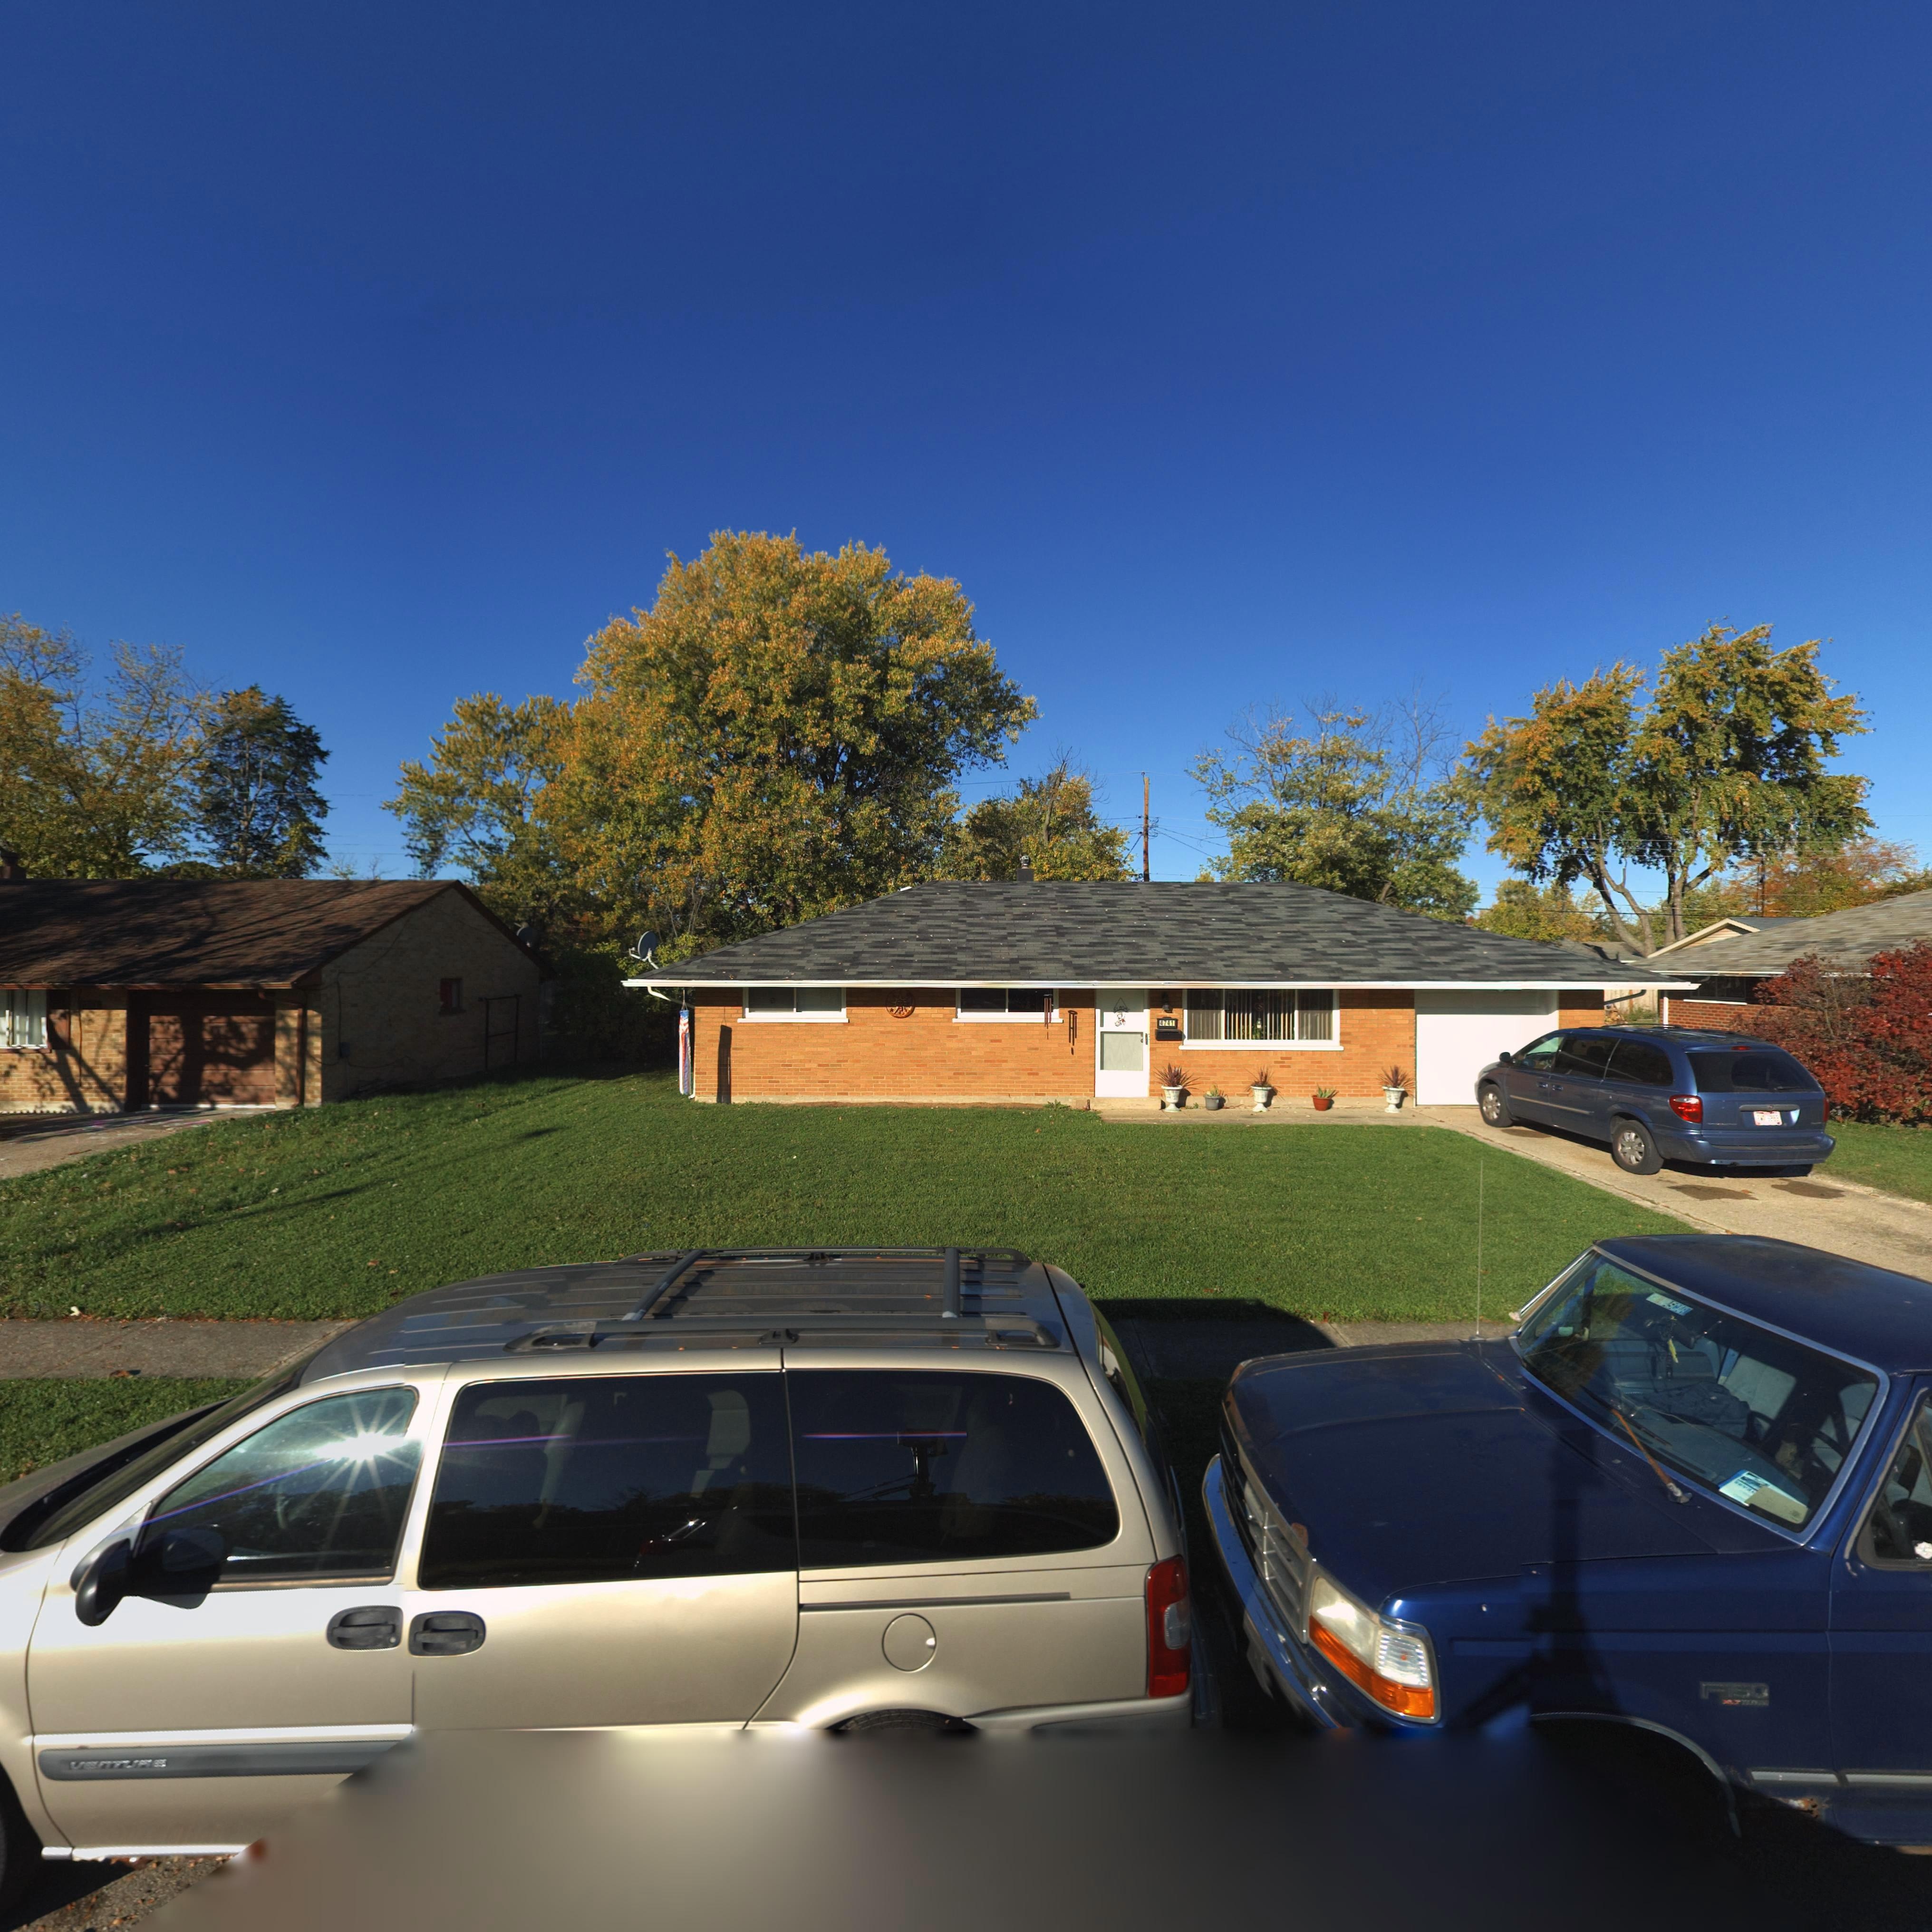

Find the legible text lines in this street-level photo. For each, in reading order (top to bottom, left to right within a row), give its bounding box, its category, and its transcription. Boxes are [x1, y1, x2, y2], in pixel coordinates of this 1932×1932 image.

[1159, 1020, 1174, 1026] StreetNumber: 4741